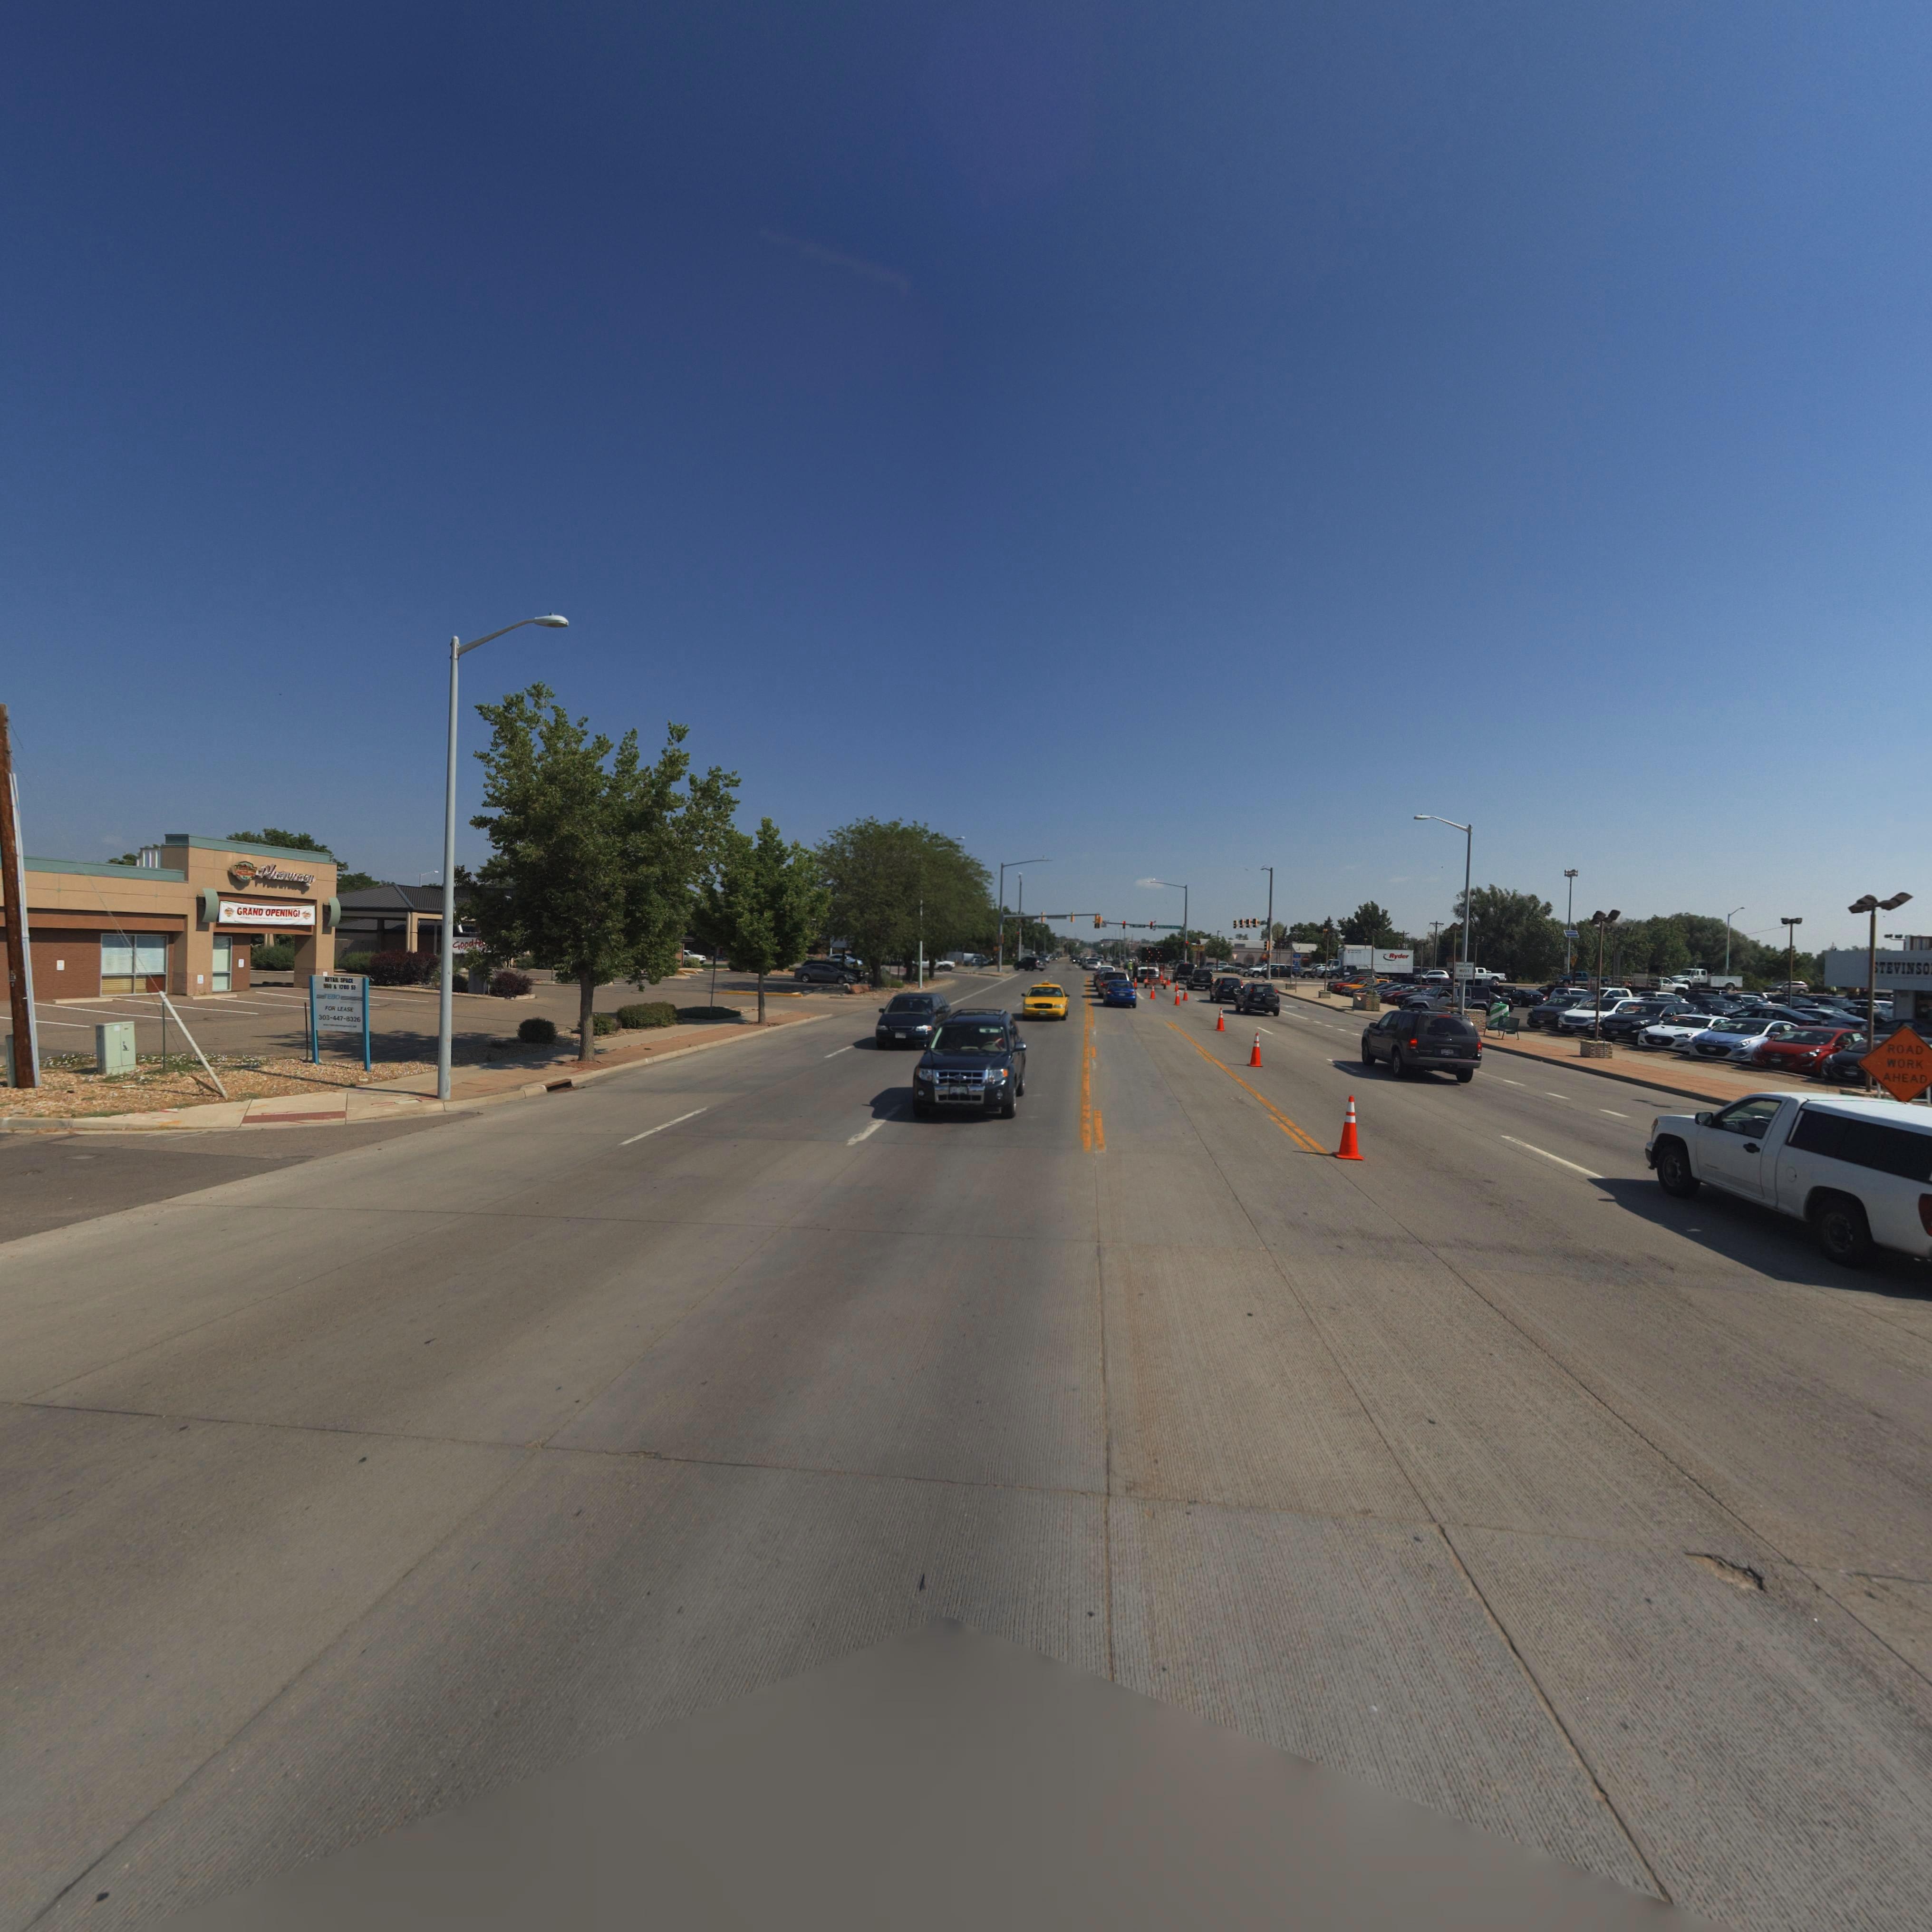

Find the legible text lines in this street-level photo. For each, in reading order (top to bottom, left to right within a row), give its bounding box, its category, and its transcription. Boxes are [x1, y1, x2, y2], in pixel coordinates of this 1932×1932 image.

[258, 863, 315, 887] BusinessName: Ph*****y
[452, 937, 481, 950] BusinessName: Goodf
[1195, 945, 1204, 948] BusinessName: OE
[1878, 961, 1930, 975] BusinessName: TEVINSO